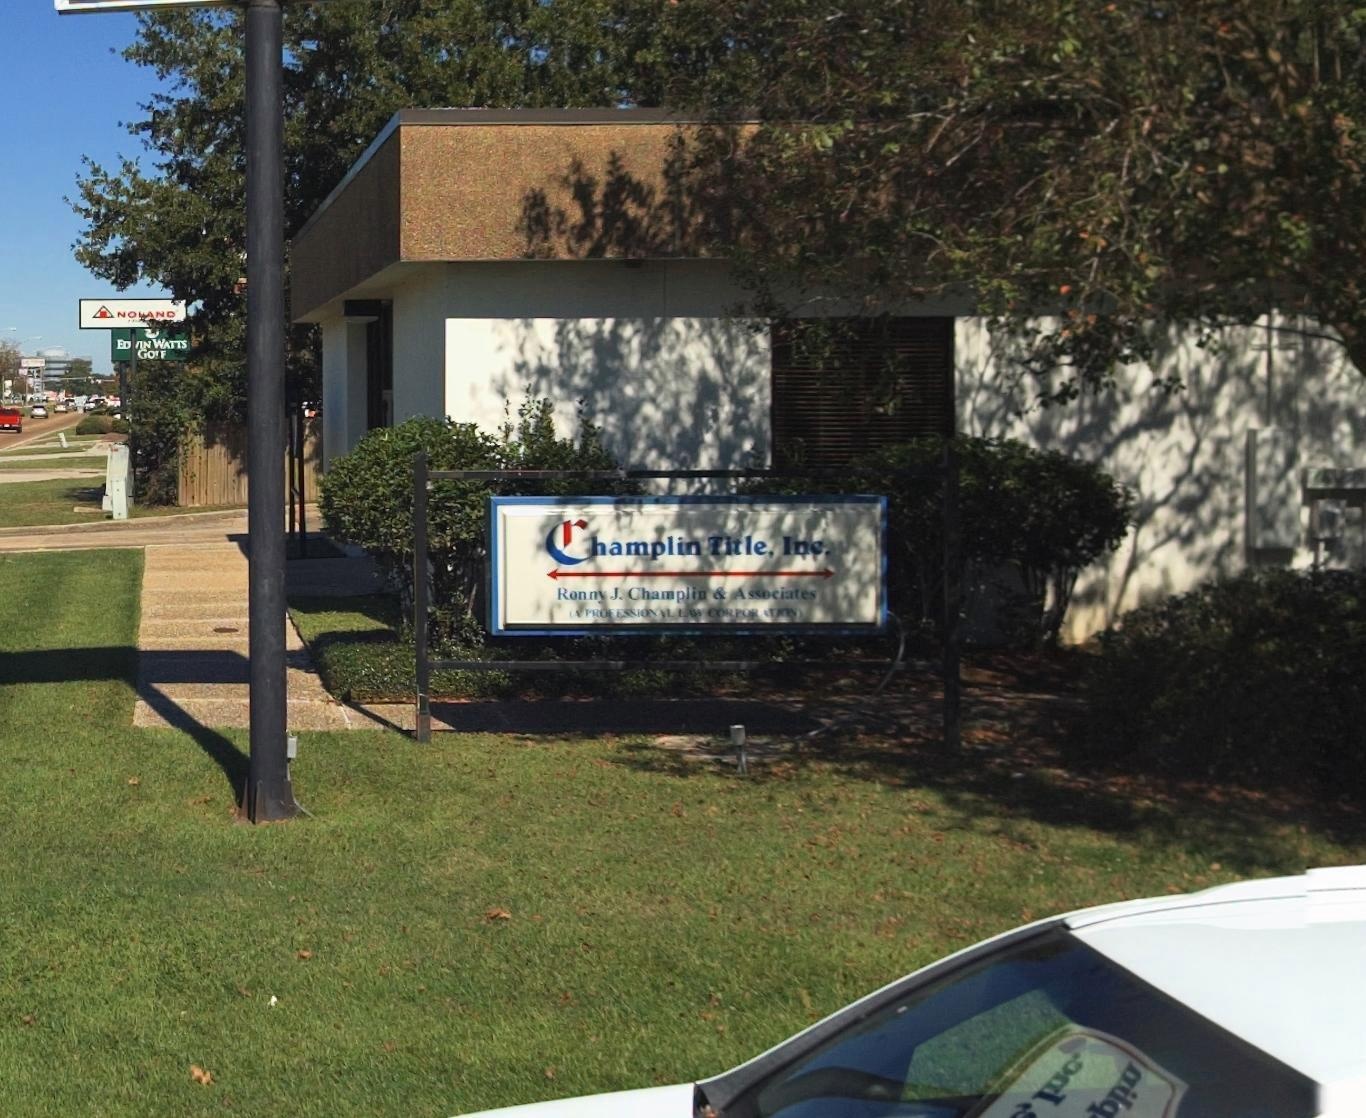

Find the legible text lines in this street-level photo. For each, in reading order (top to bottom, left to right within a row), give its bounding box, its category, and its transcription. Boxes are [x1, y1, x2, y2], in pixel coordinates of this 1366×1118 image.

[115, 309, 178, 320] BusinessName: NO*AND
[114, 337, 132, 351] BusinessName: ED
[138, 337, 189, 350] BusinessName: IN WATTS
[135, 348, 169, 361] BusinessName: GOLF
[543, 515, 833, 570] BusinessName: Champlin Title, Inc
[554, 584, 818, 607] None: Ronny J. Champlin & Associates
[581, 606, 706, 620] None: PROFESSIONAL LAW